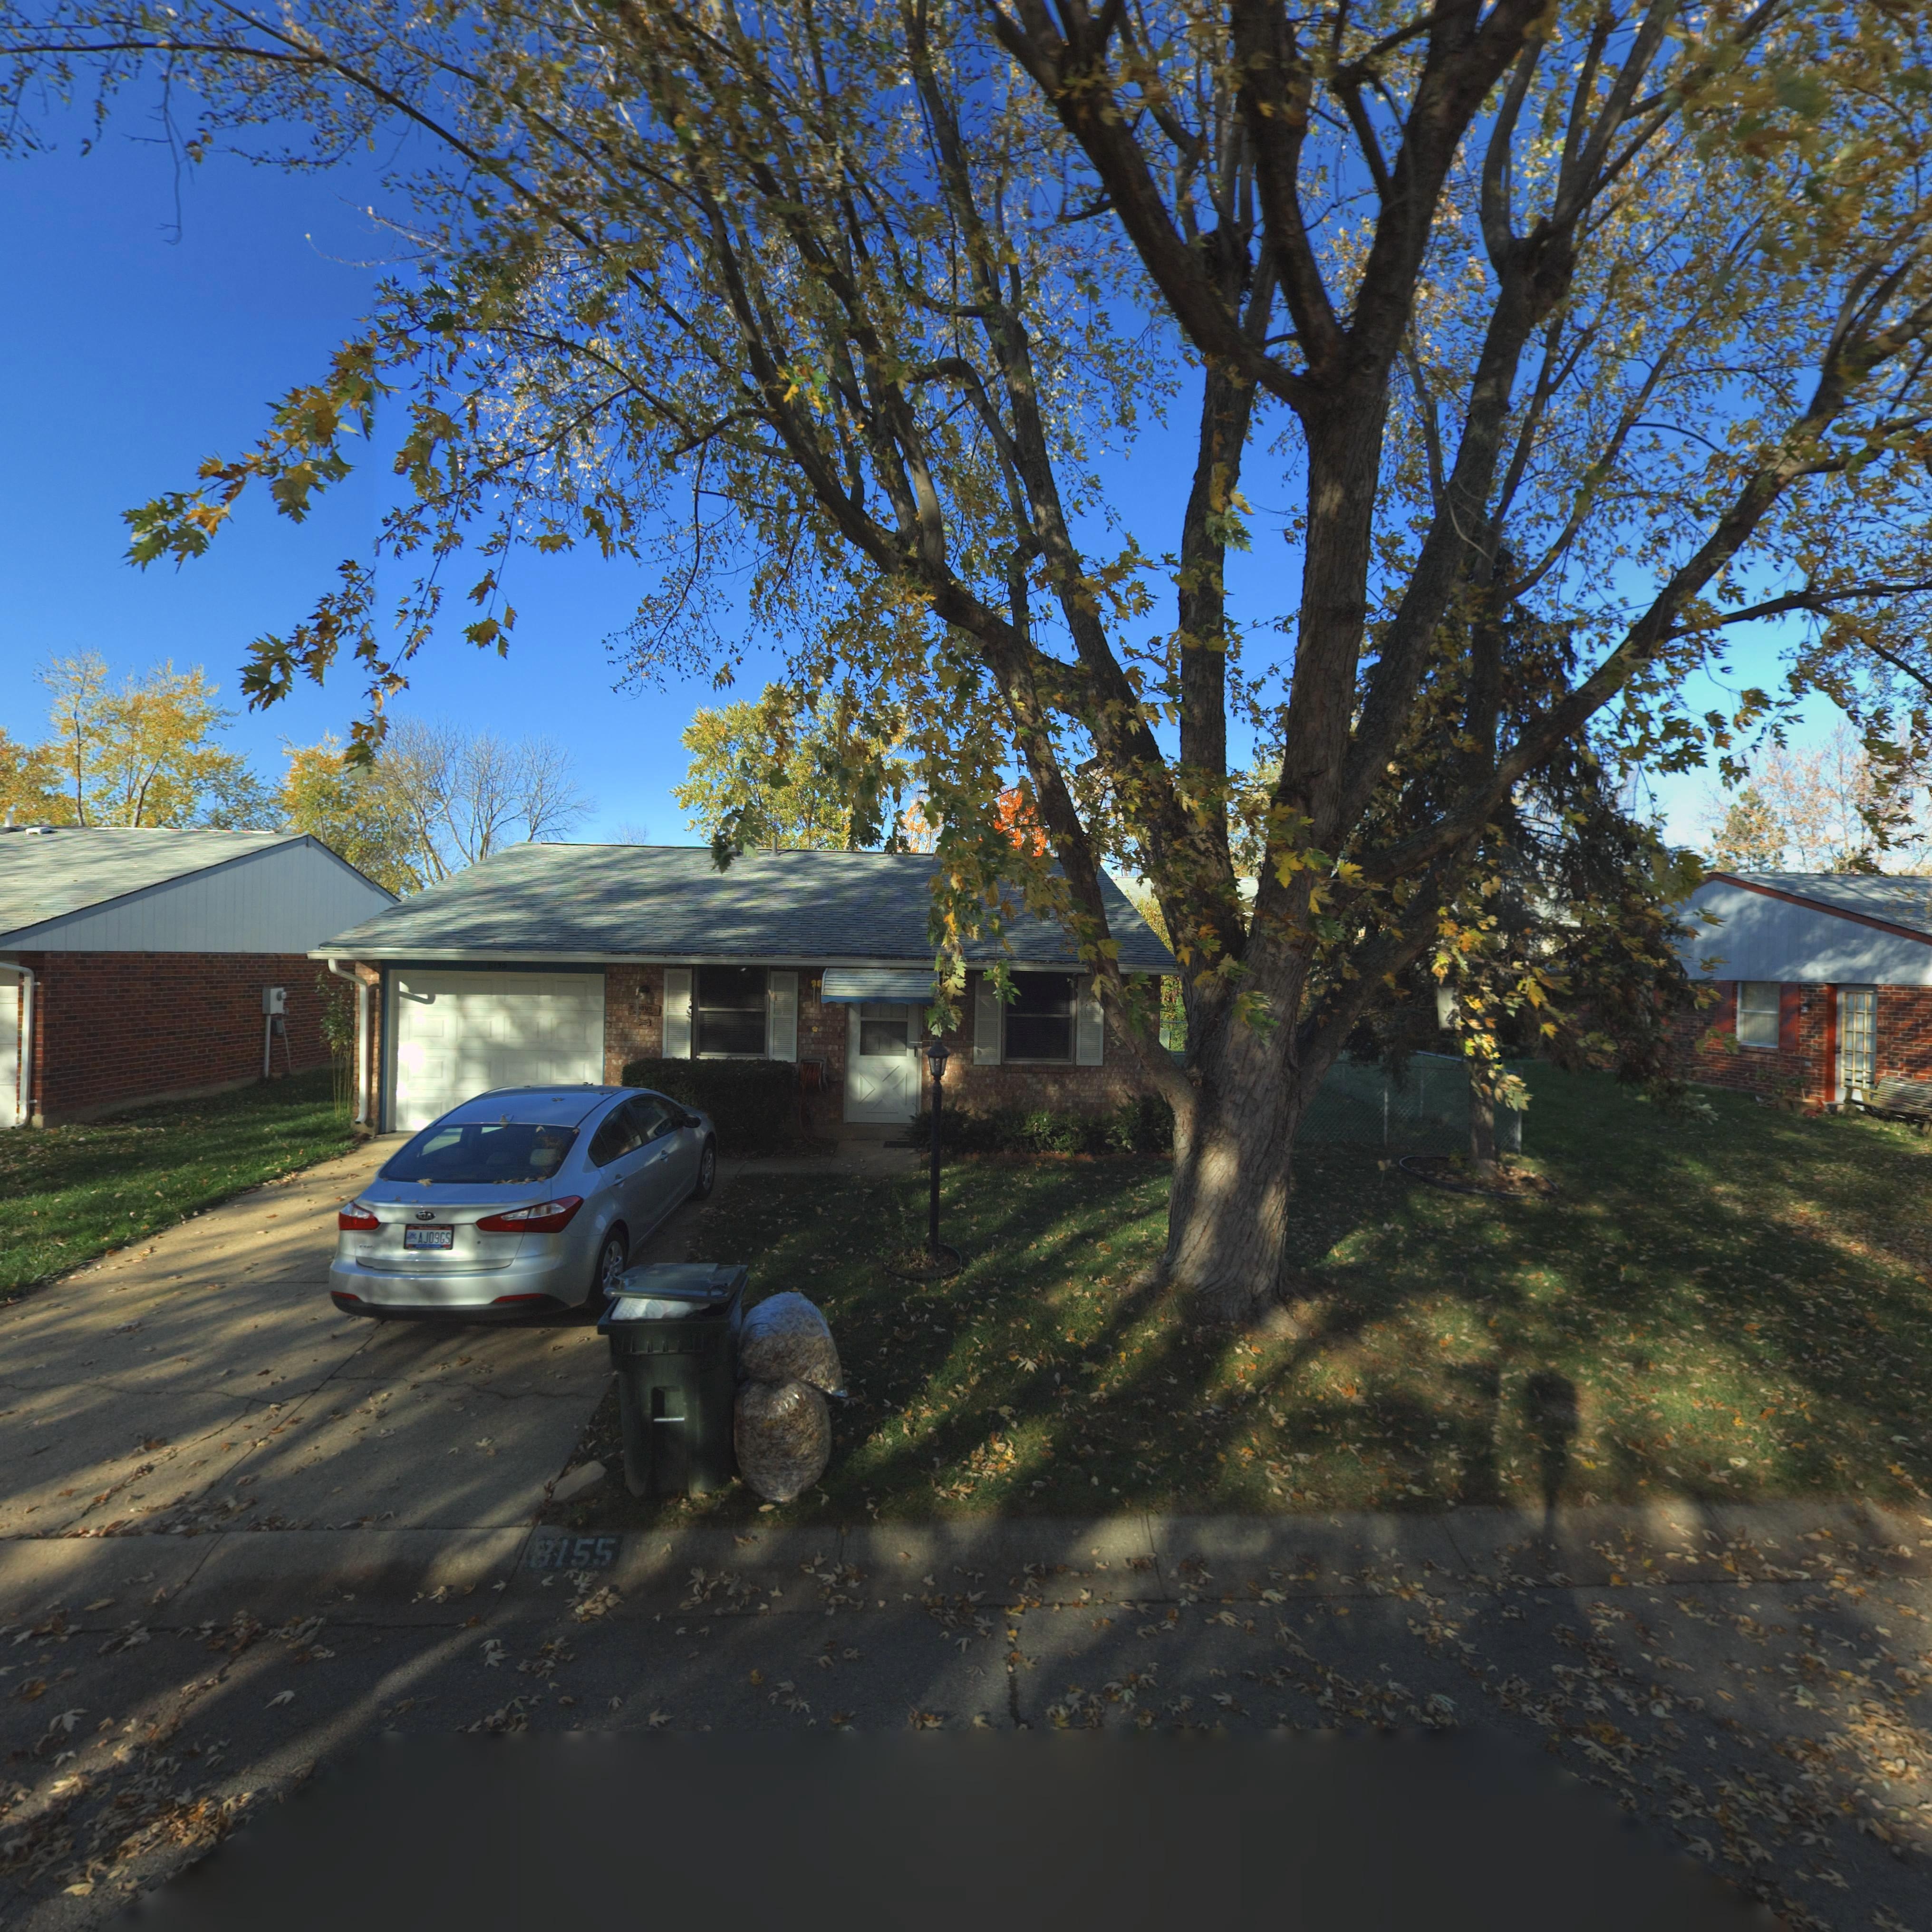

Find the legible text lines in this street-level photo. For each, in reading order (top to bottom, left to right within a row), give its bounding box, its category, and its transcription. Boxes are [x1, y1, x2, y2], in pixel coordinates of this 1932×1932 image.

[486, 961, 508, 970] StreetNumber: 8155
[526, 1536, 618, 1569] StreetNumber: 8155